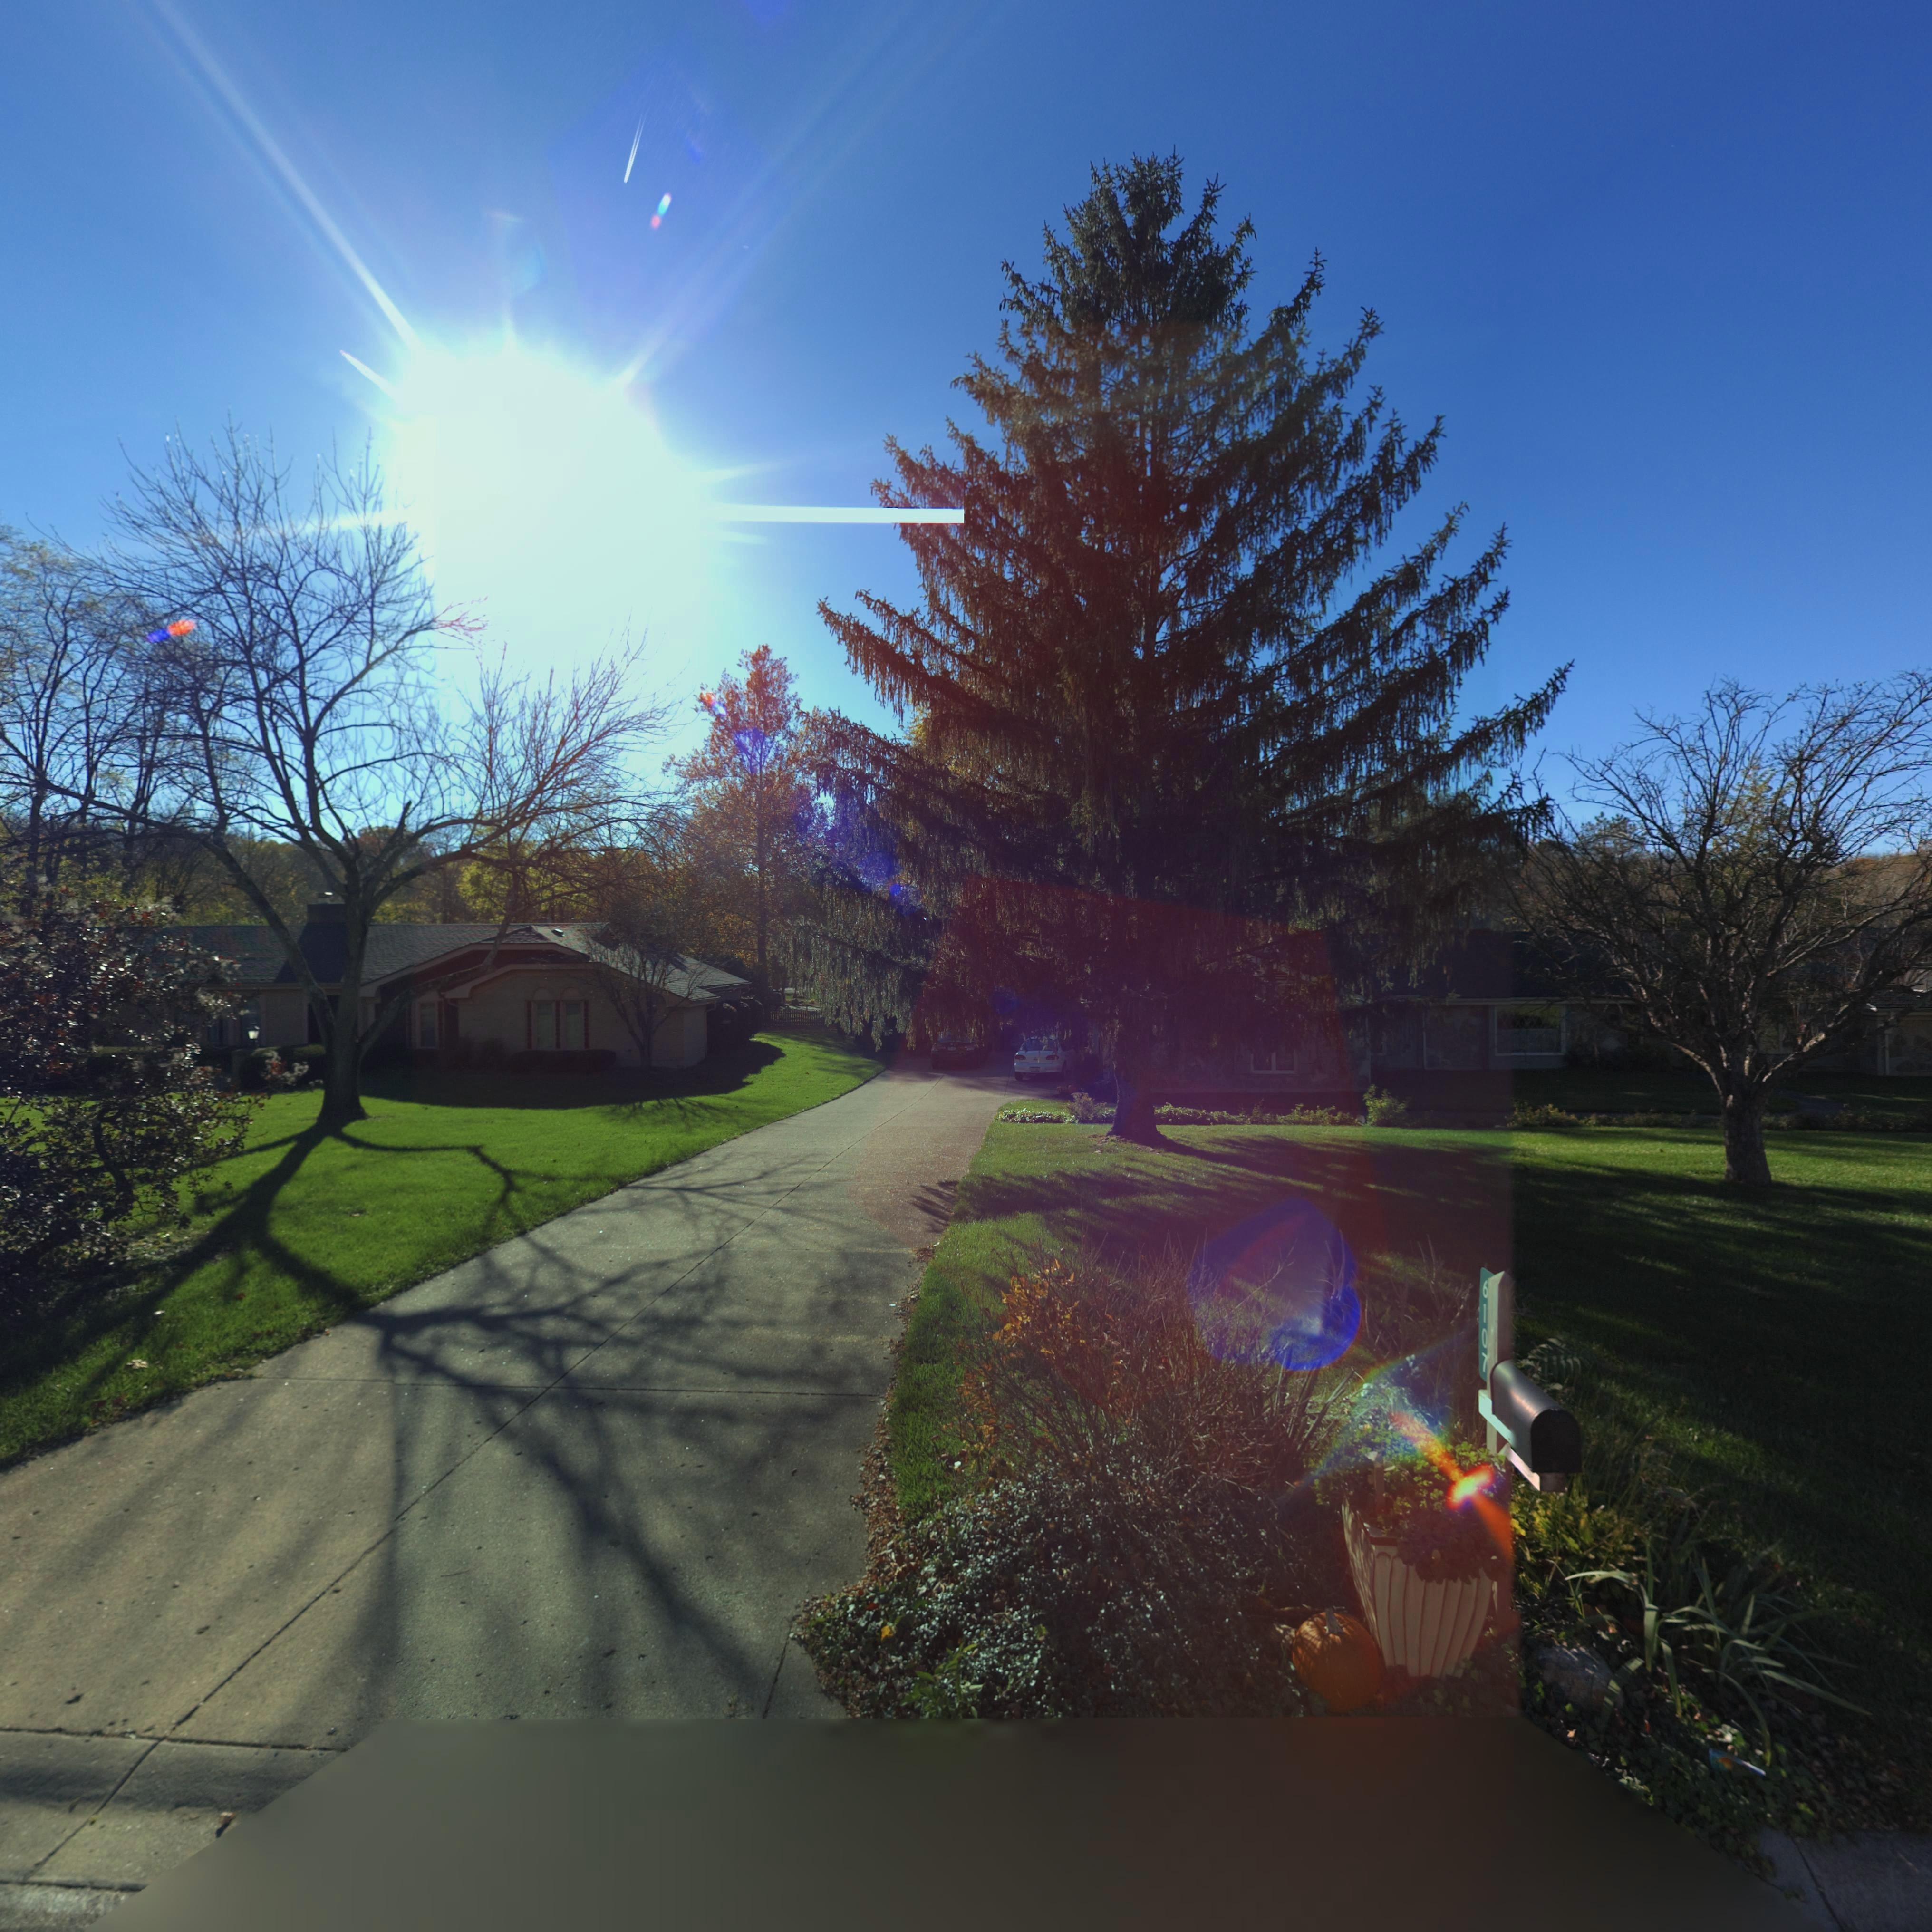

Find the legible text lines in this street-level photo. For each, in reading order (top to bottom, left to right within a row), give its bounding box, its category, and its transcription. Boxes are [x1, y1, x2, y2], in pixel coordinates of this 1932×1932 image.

[1480, 1278, 1489, 1373] StreetNumber: 6107